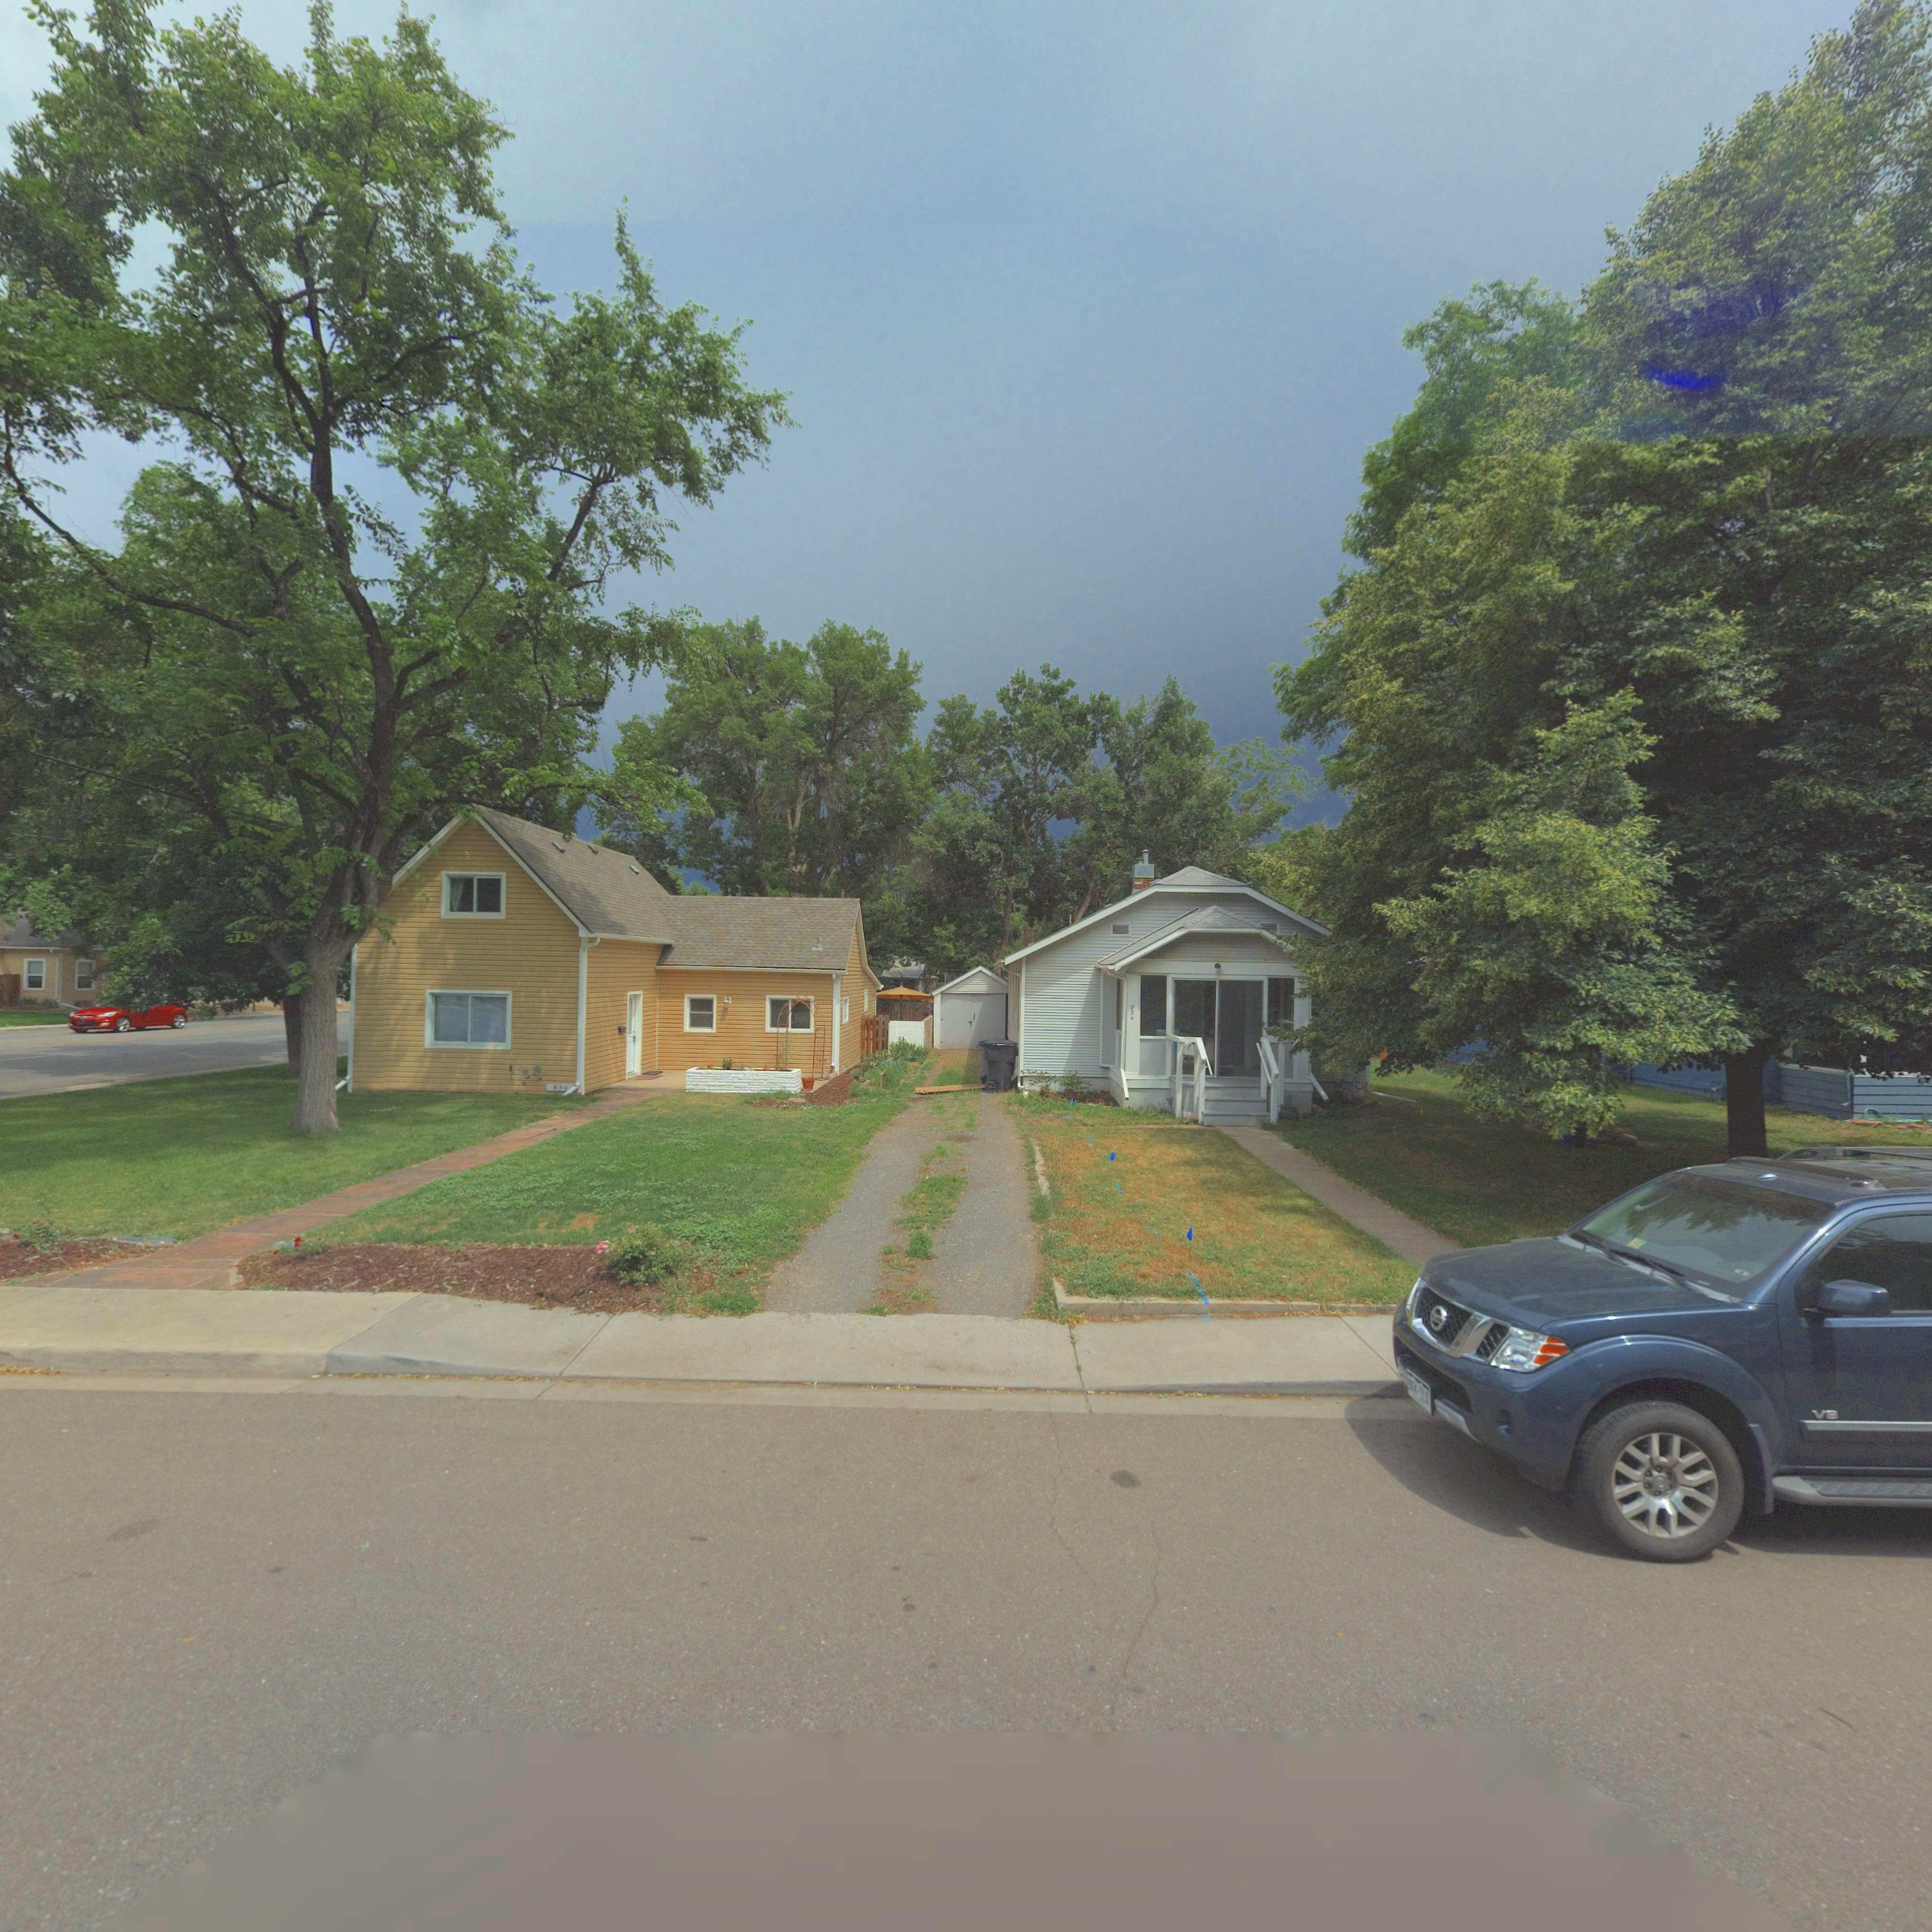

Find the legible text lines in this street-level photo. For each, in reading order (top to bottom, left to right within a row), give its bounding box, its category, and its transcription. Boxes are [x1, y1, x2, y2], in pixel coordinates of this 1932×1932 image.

[1130, 1004, 1134, 1021] StreetNumber: 834
[553, 1084, 568, 1091] StreetNumber: 836